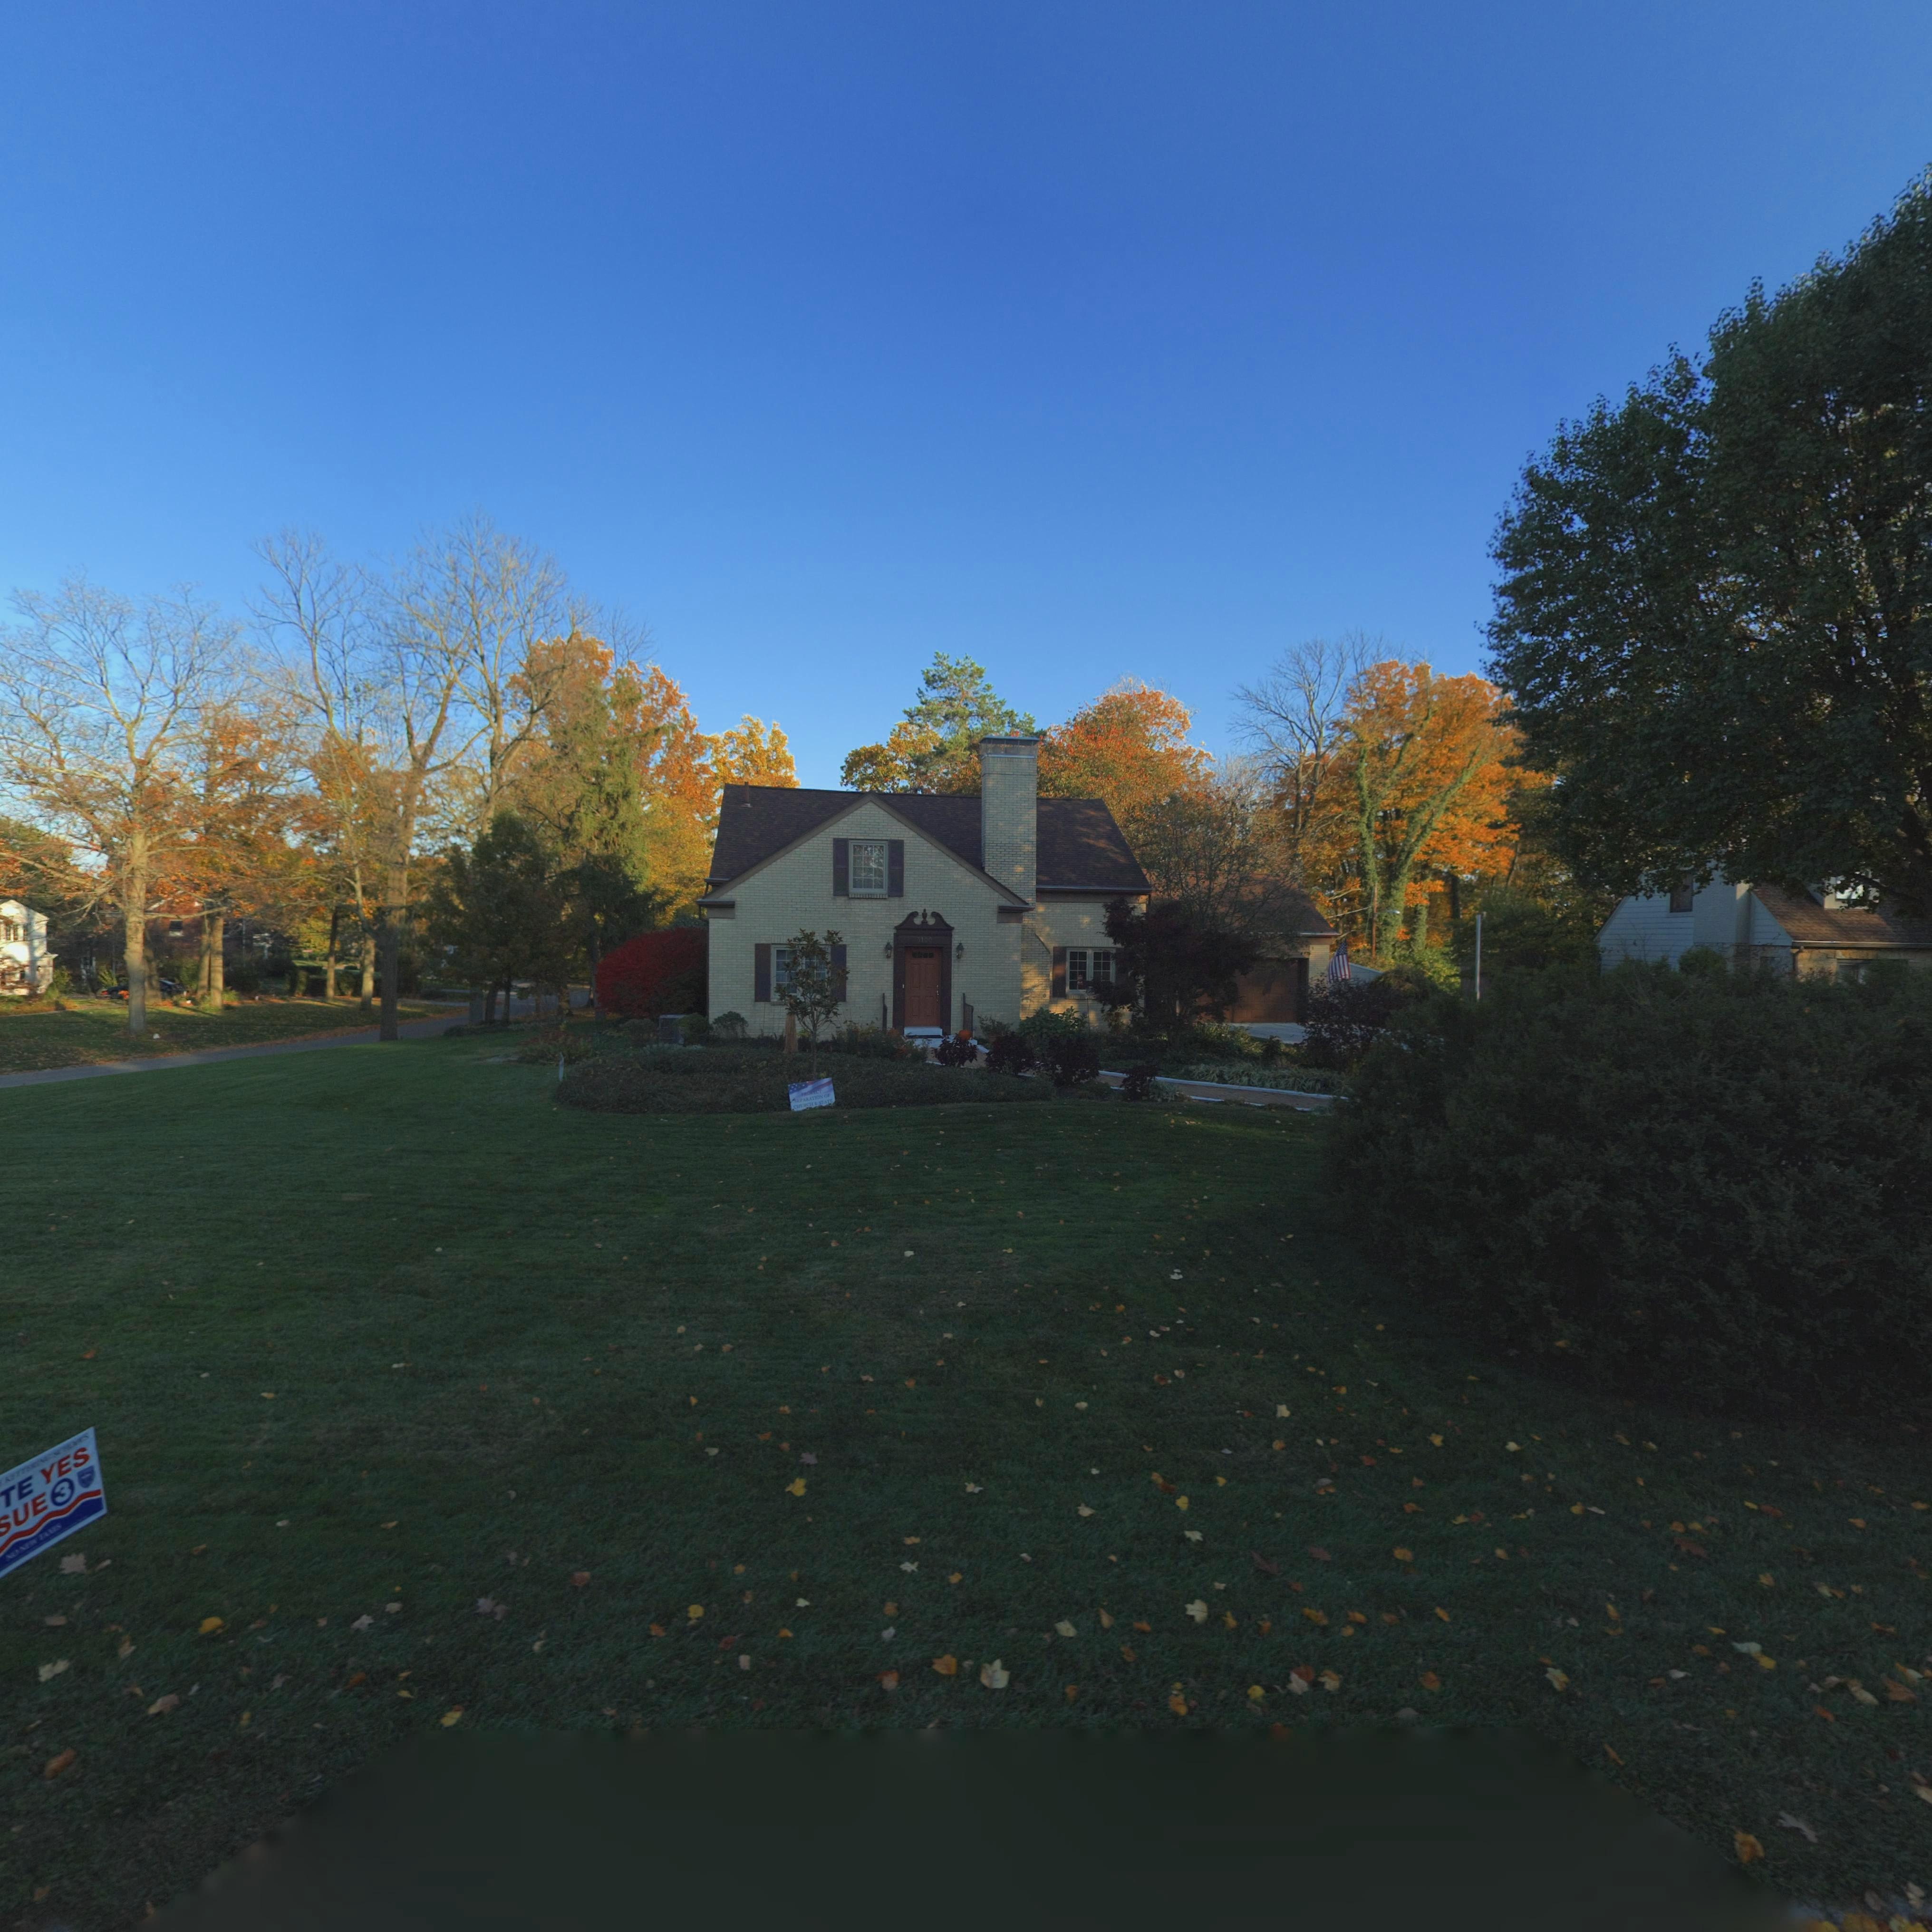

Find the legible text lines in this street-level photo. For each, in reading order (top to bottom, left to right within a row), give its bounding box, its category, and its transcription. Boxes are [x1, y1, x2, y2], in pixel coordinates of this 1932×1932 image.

[916, 936, 933, 944] StreetNumber: 3100